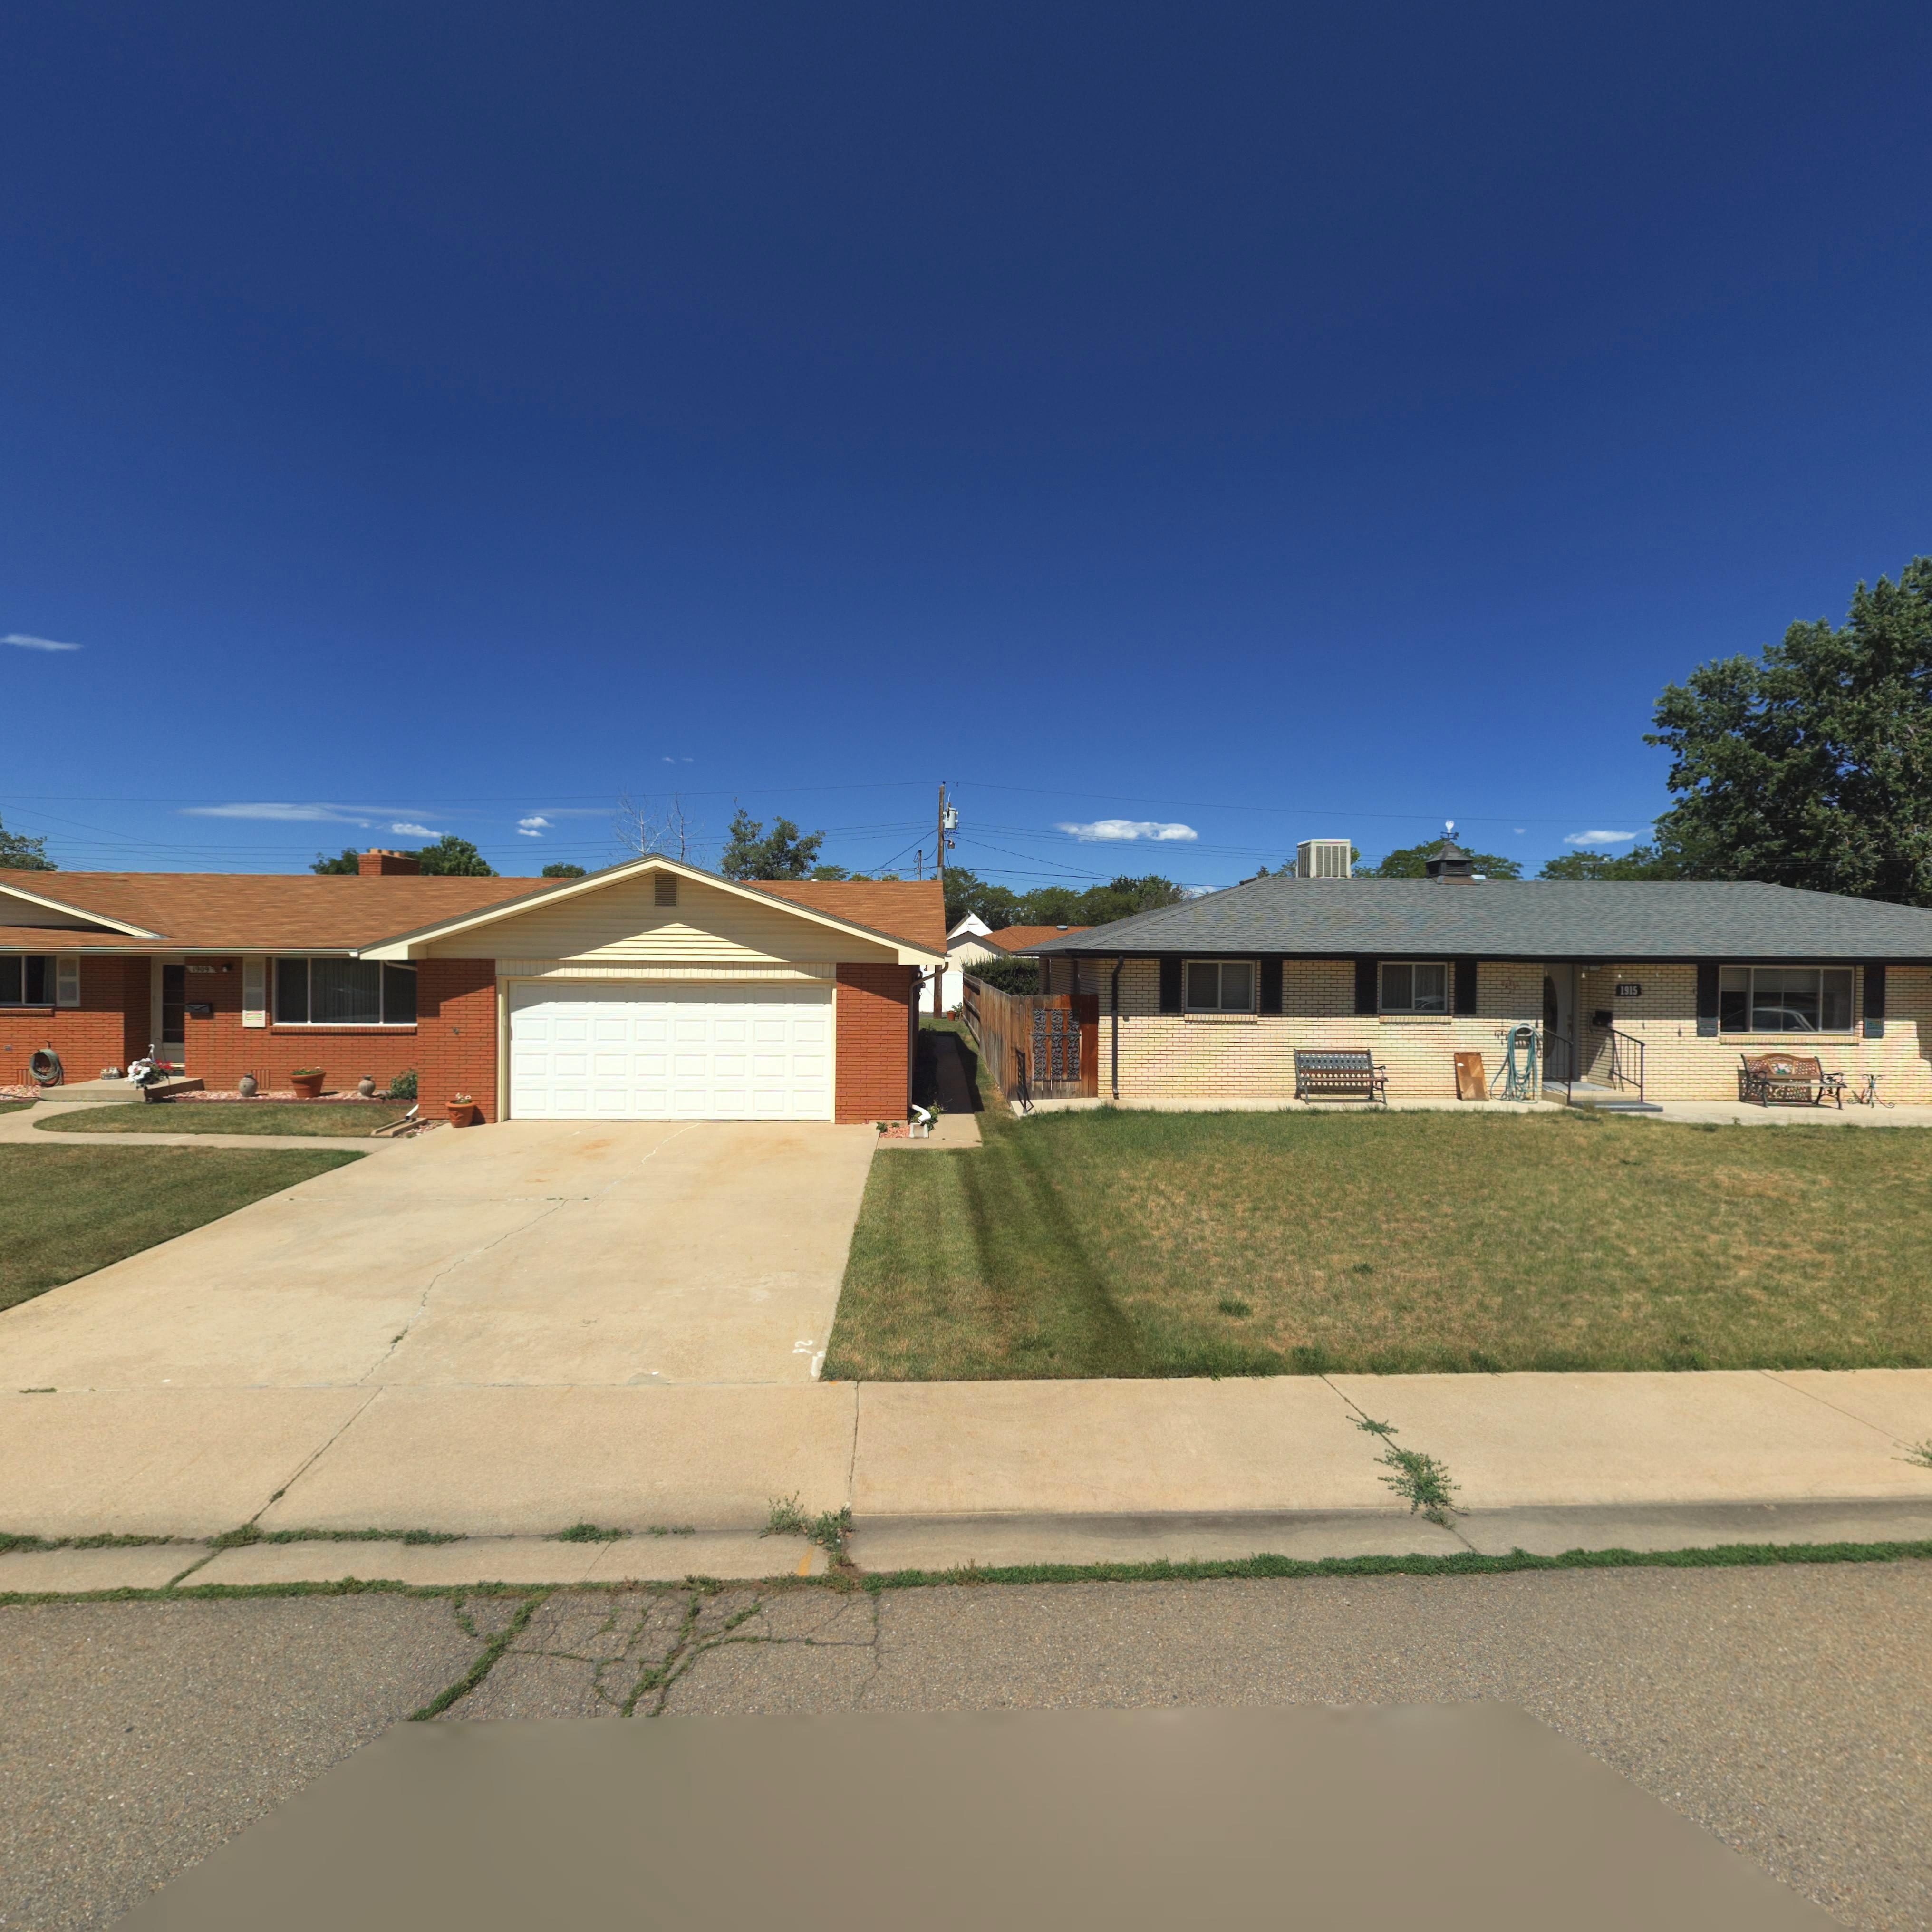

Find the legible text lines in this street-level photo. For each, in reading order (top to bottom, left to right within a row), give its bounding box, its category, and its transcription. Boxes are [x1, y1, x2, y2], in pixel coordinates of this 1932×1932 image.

[192, 965, 210, 973] StreetNumber: 1909
[1621, 986, 1637, 995] StreetNumber: 1915